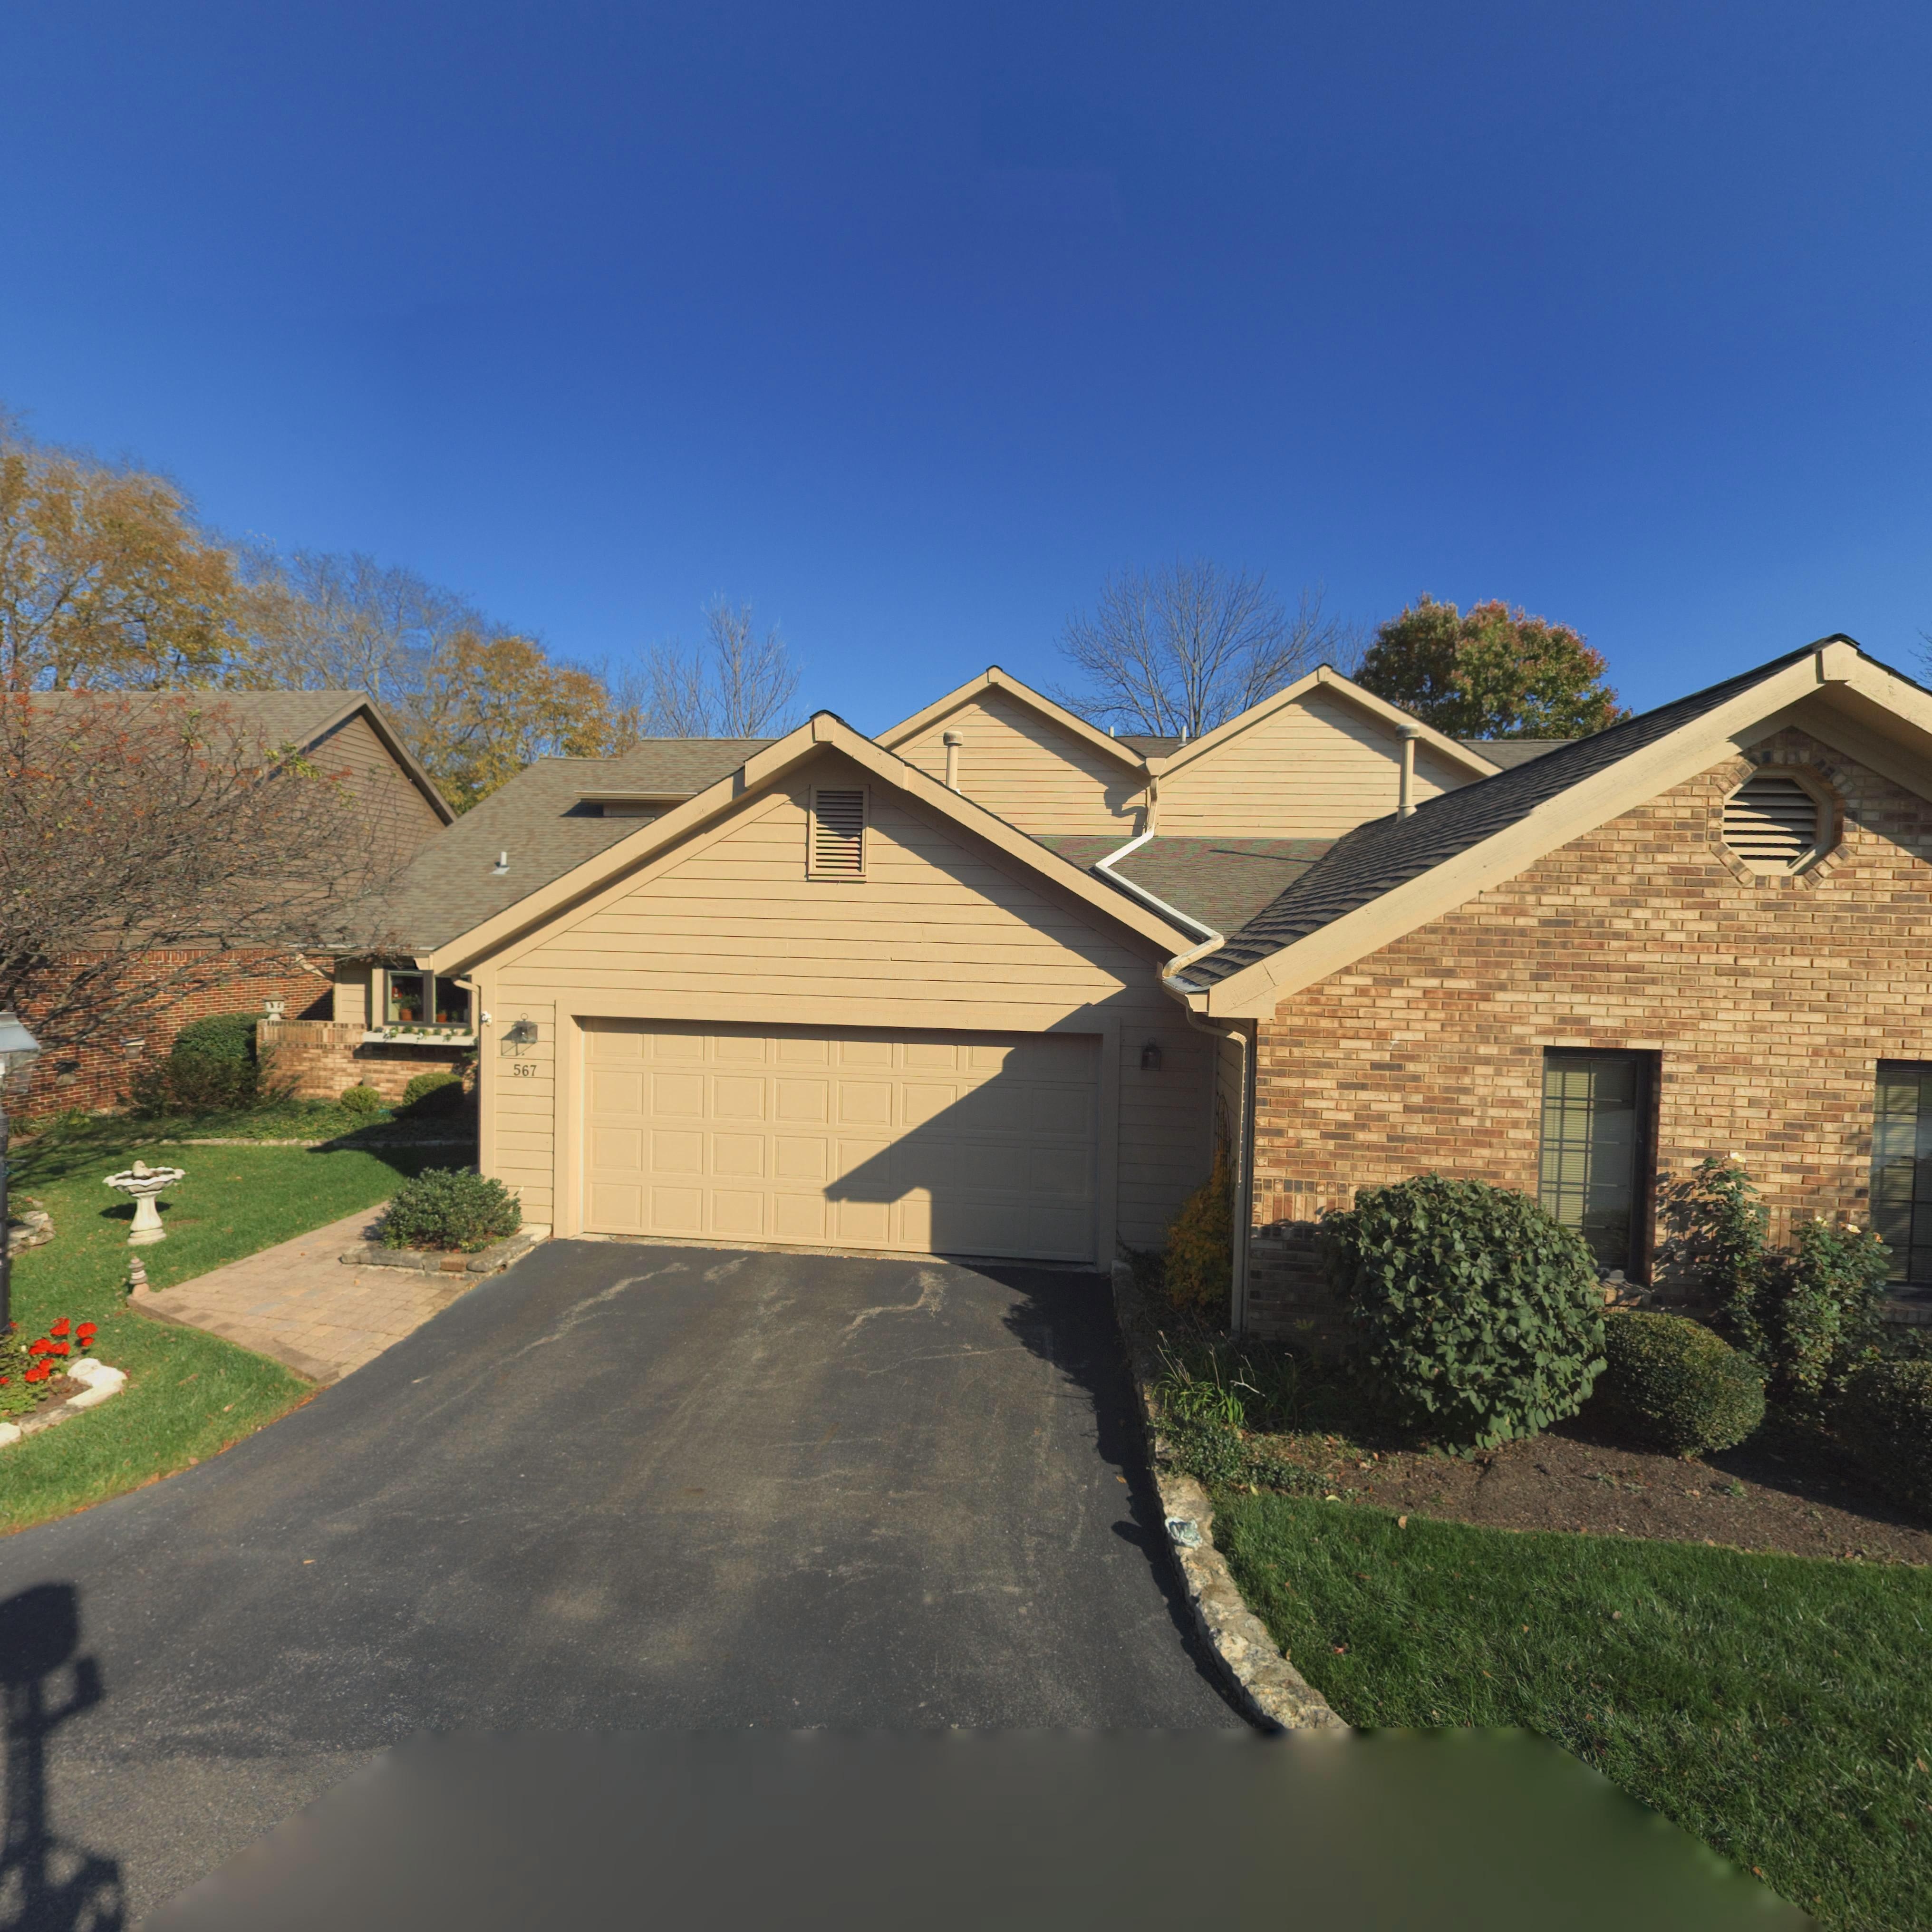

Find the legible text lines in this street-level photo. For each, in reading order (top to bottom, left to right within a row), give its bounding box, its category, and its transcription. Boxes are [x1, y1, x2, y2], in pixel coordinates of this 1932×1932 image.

[512, 1063, 539, 1078] StreetNumber: 567